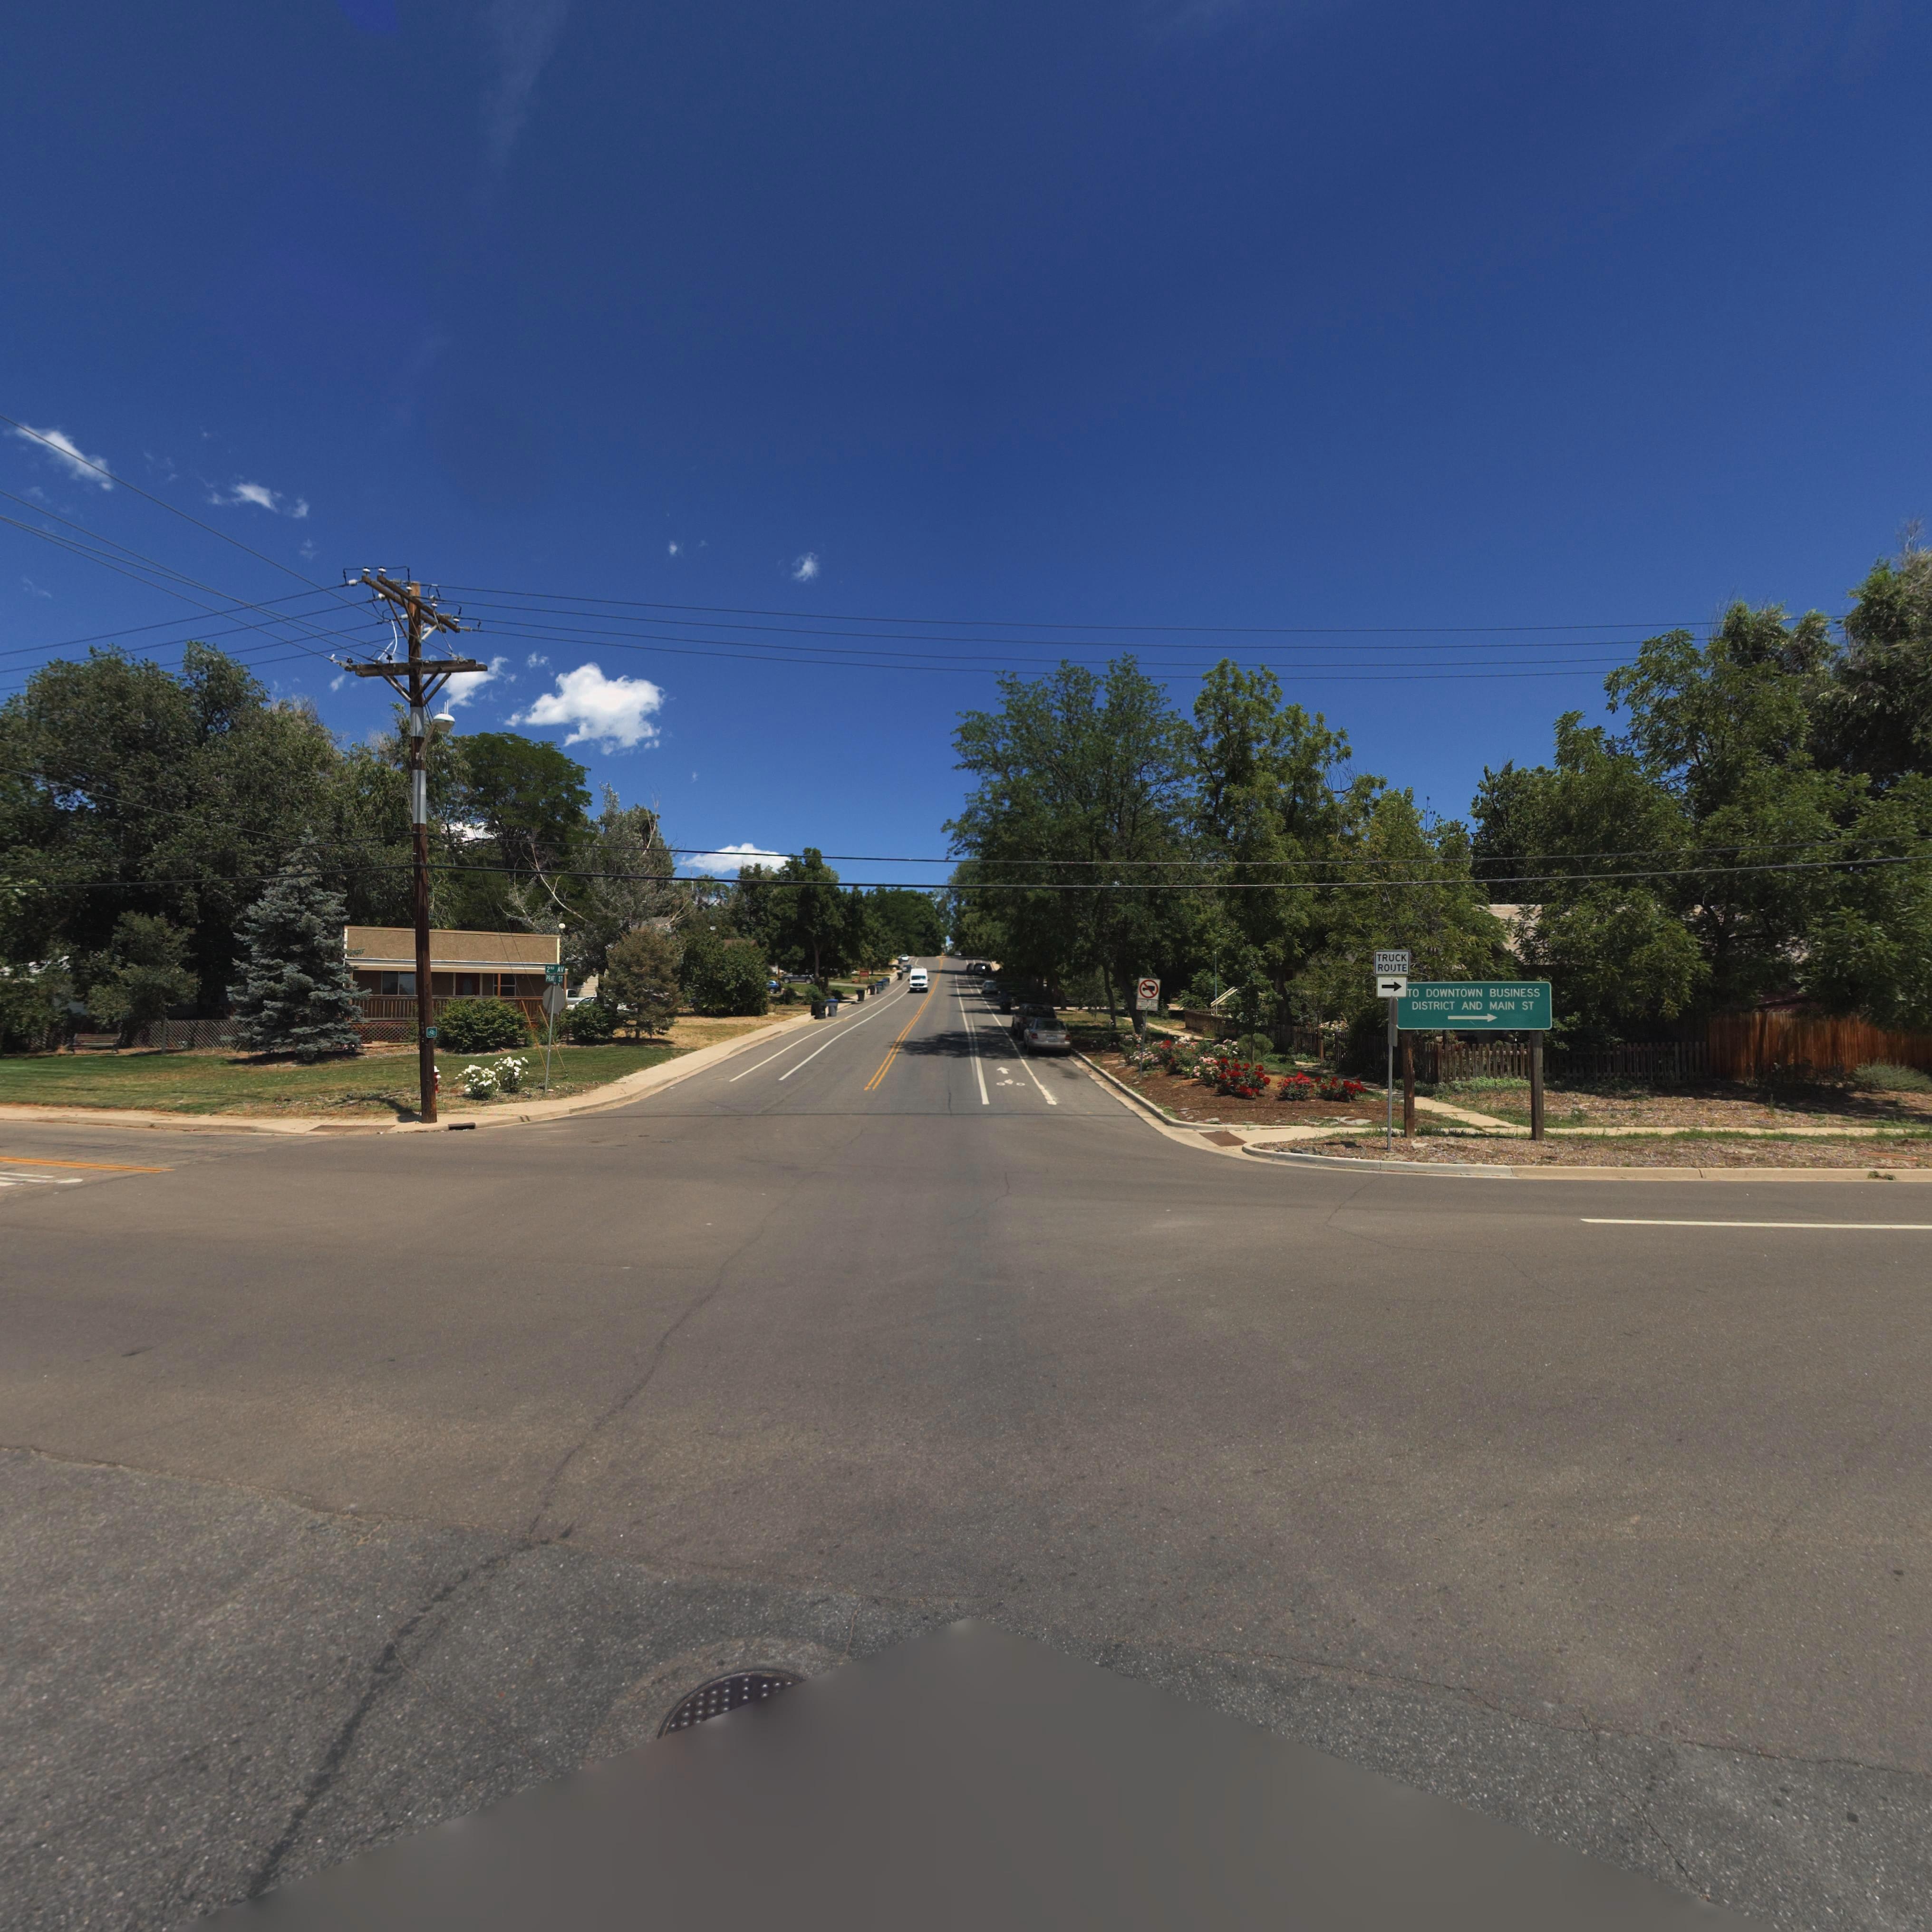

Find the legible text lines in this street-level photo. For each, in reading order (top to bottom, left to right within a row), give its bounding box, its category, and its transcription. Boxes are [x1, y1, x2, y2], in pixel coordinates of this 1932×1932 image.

[546, 966, 564, 972] StreetName: 2ND AV
[546, 975, 563, 982] StreetName: PRATT ST